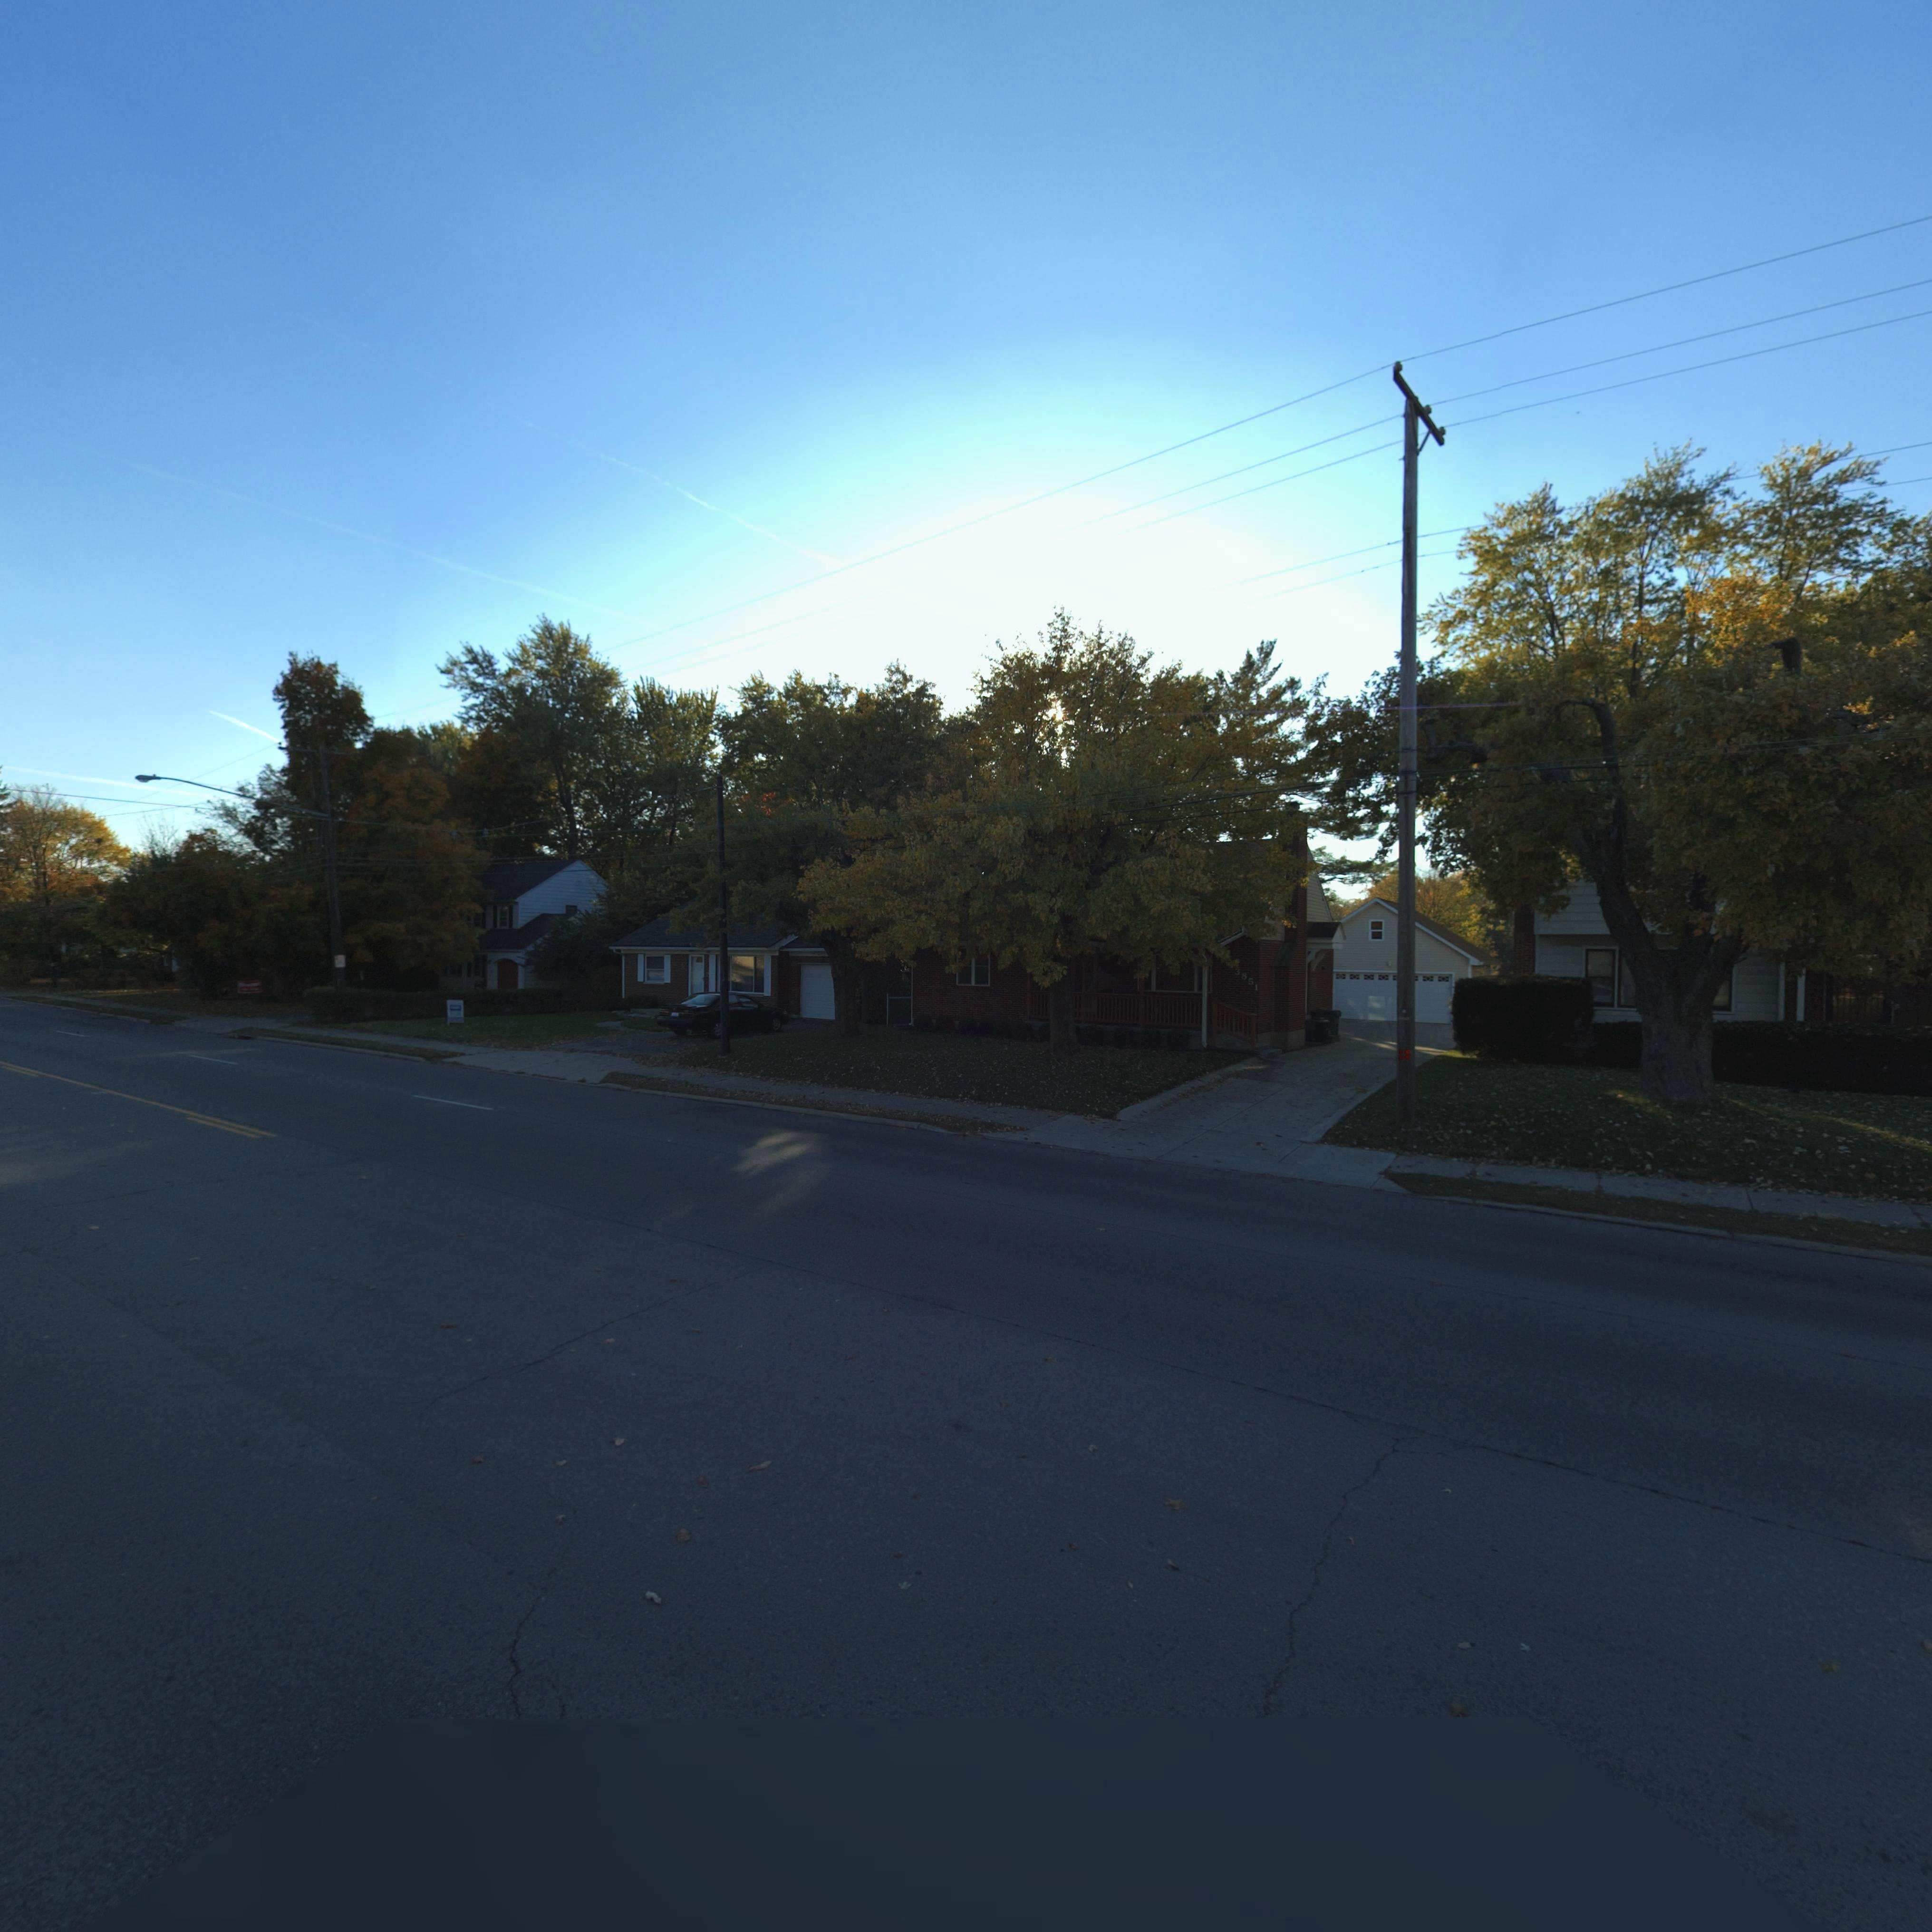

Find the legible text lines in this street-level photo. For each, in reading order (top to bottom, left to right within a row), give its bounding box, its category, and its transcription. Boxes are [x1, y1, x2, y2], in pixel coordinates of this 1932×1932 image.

[1234, 967, 1258, 991] StreetNumber: 3851